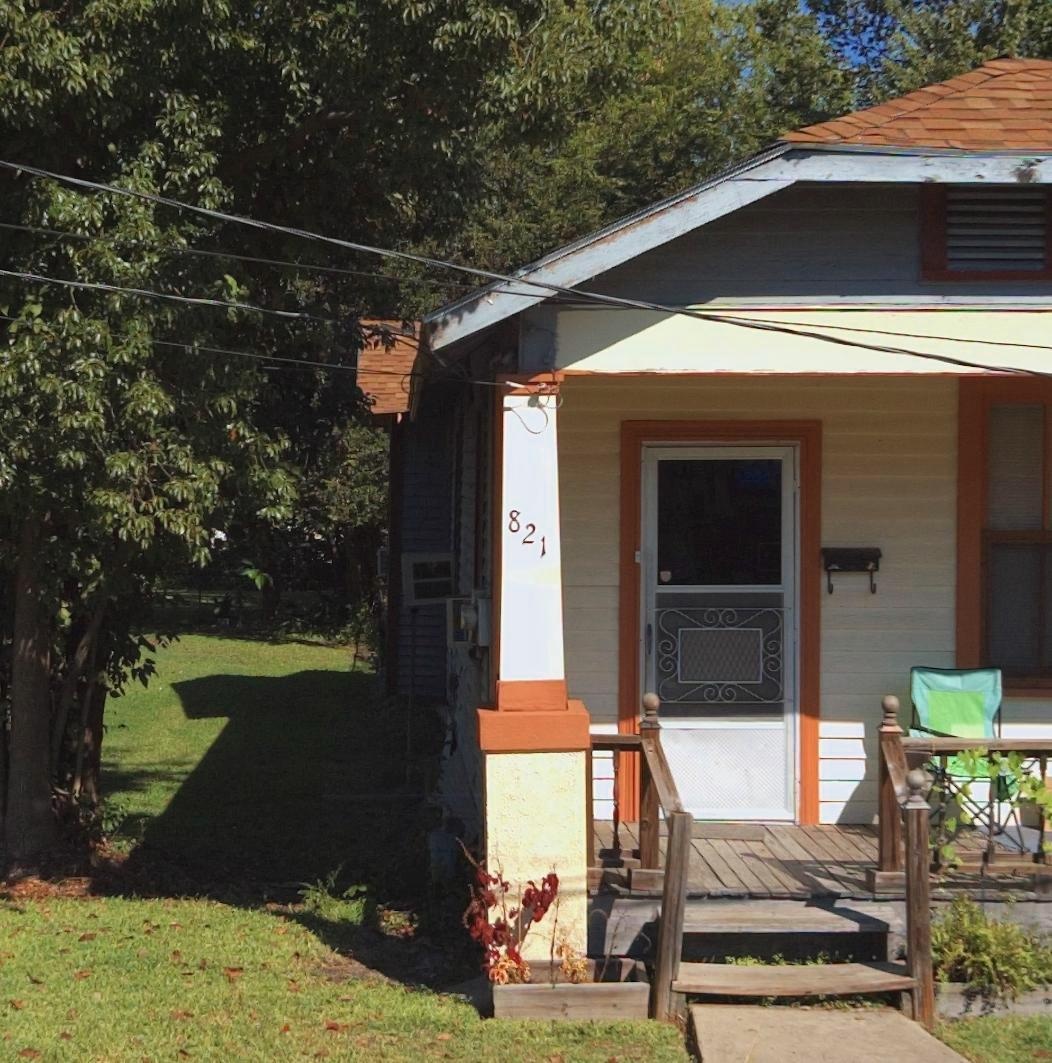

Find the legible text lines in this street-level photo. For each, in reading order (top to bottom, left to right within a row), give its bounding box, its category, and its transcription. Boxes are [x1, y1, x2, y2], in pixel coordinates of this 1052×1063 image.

[506, 505, 551, 567] StreetNumber: 821